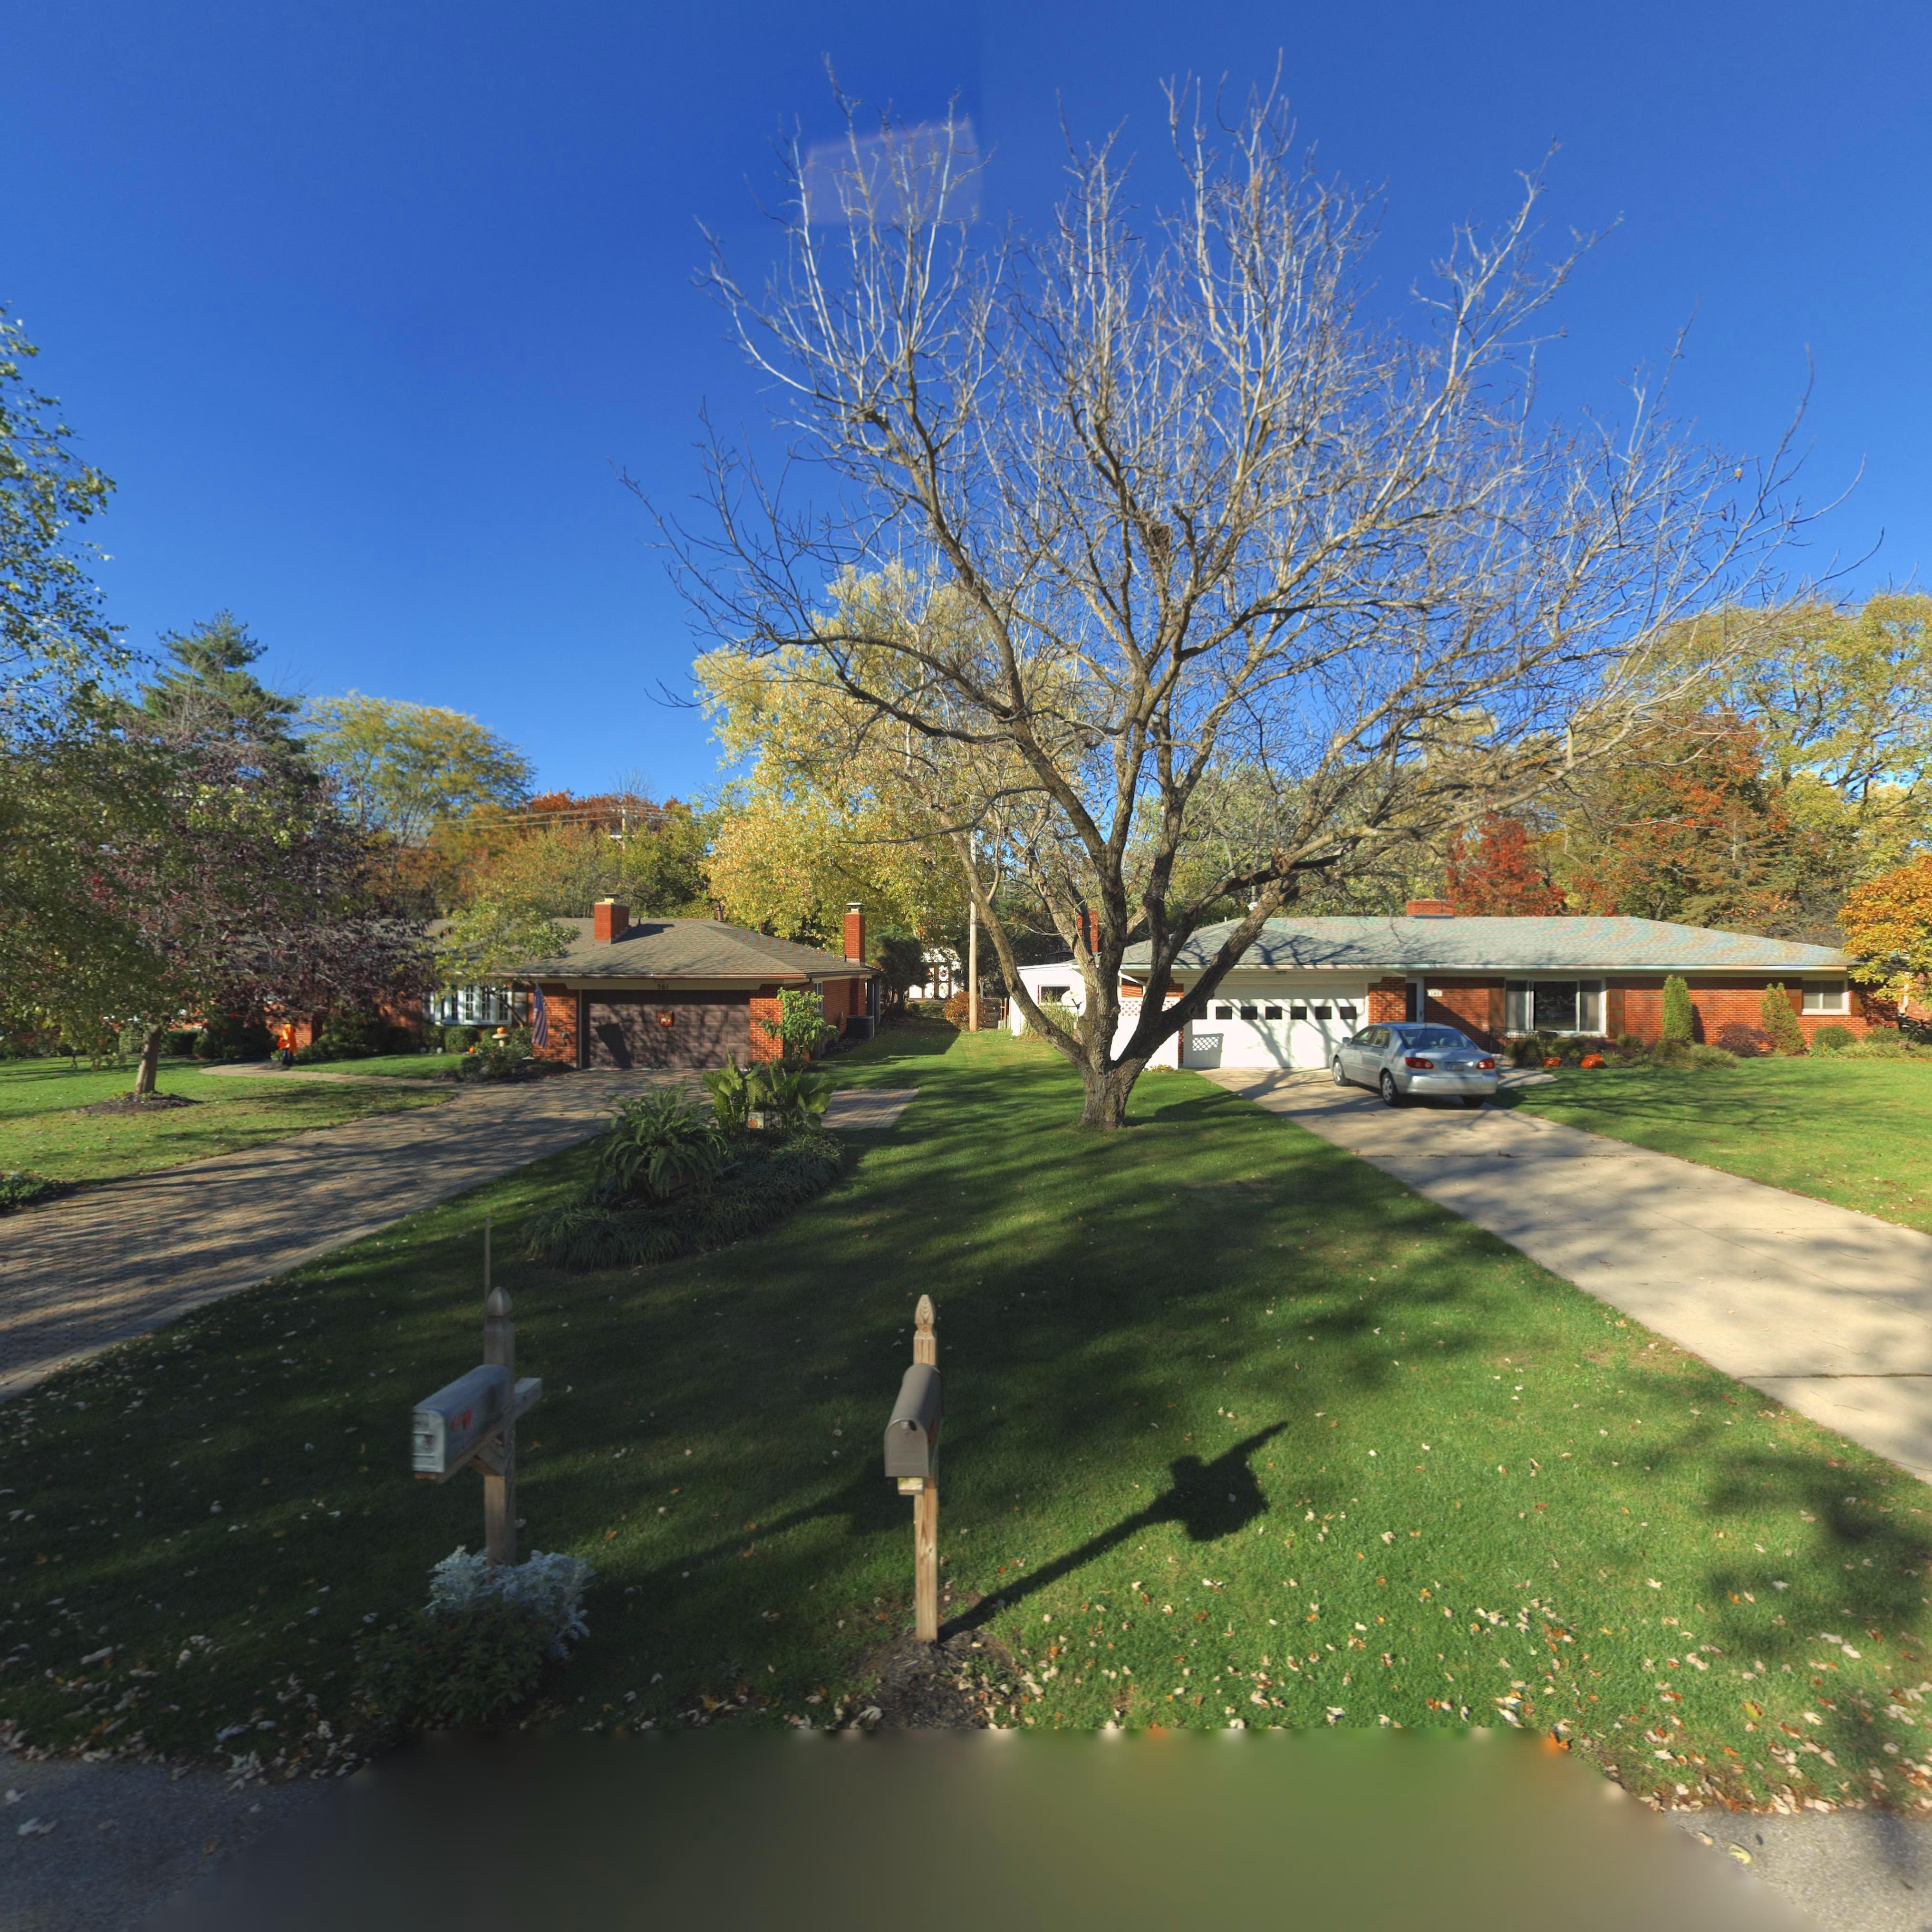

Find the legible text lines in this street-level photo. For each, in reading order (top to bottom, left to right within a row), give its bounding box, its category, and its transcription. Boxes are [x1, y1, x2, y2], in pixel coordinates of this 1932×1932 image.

[656, 983, 669, 990] StreetNumber: 361
[1430, 991, 1439, 996] StreetNumber: 341
[504, 1429, 516, 1513] StreetNumber: 361